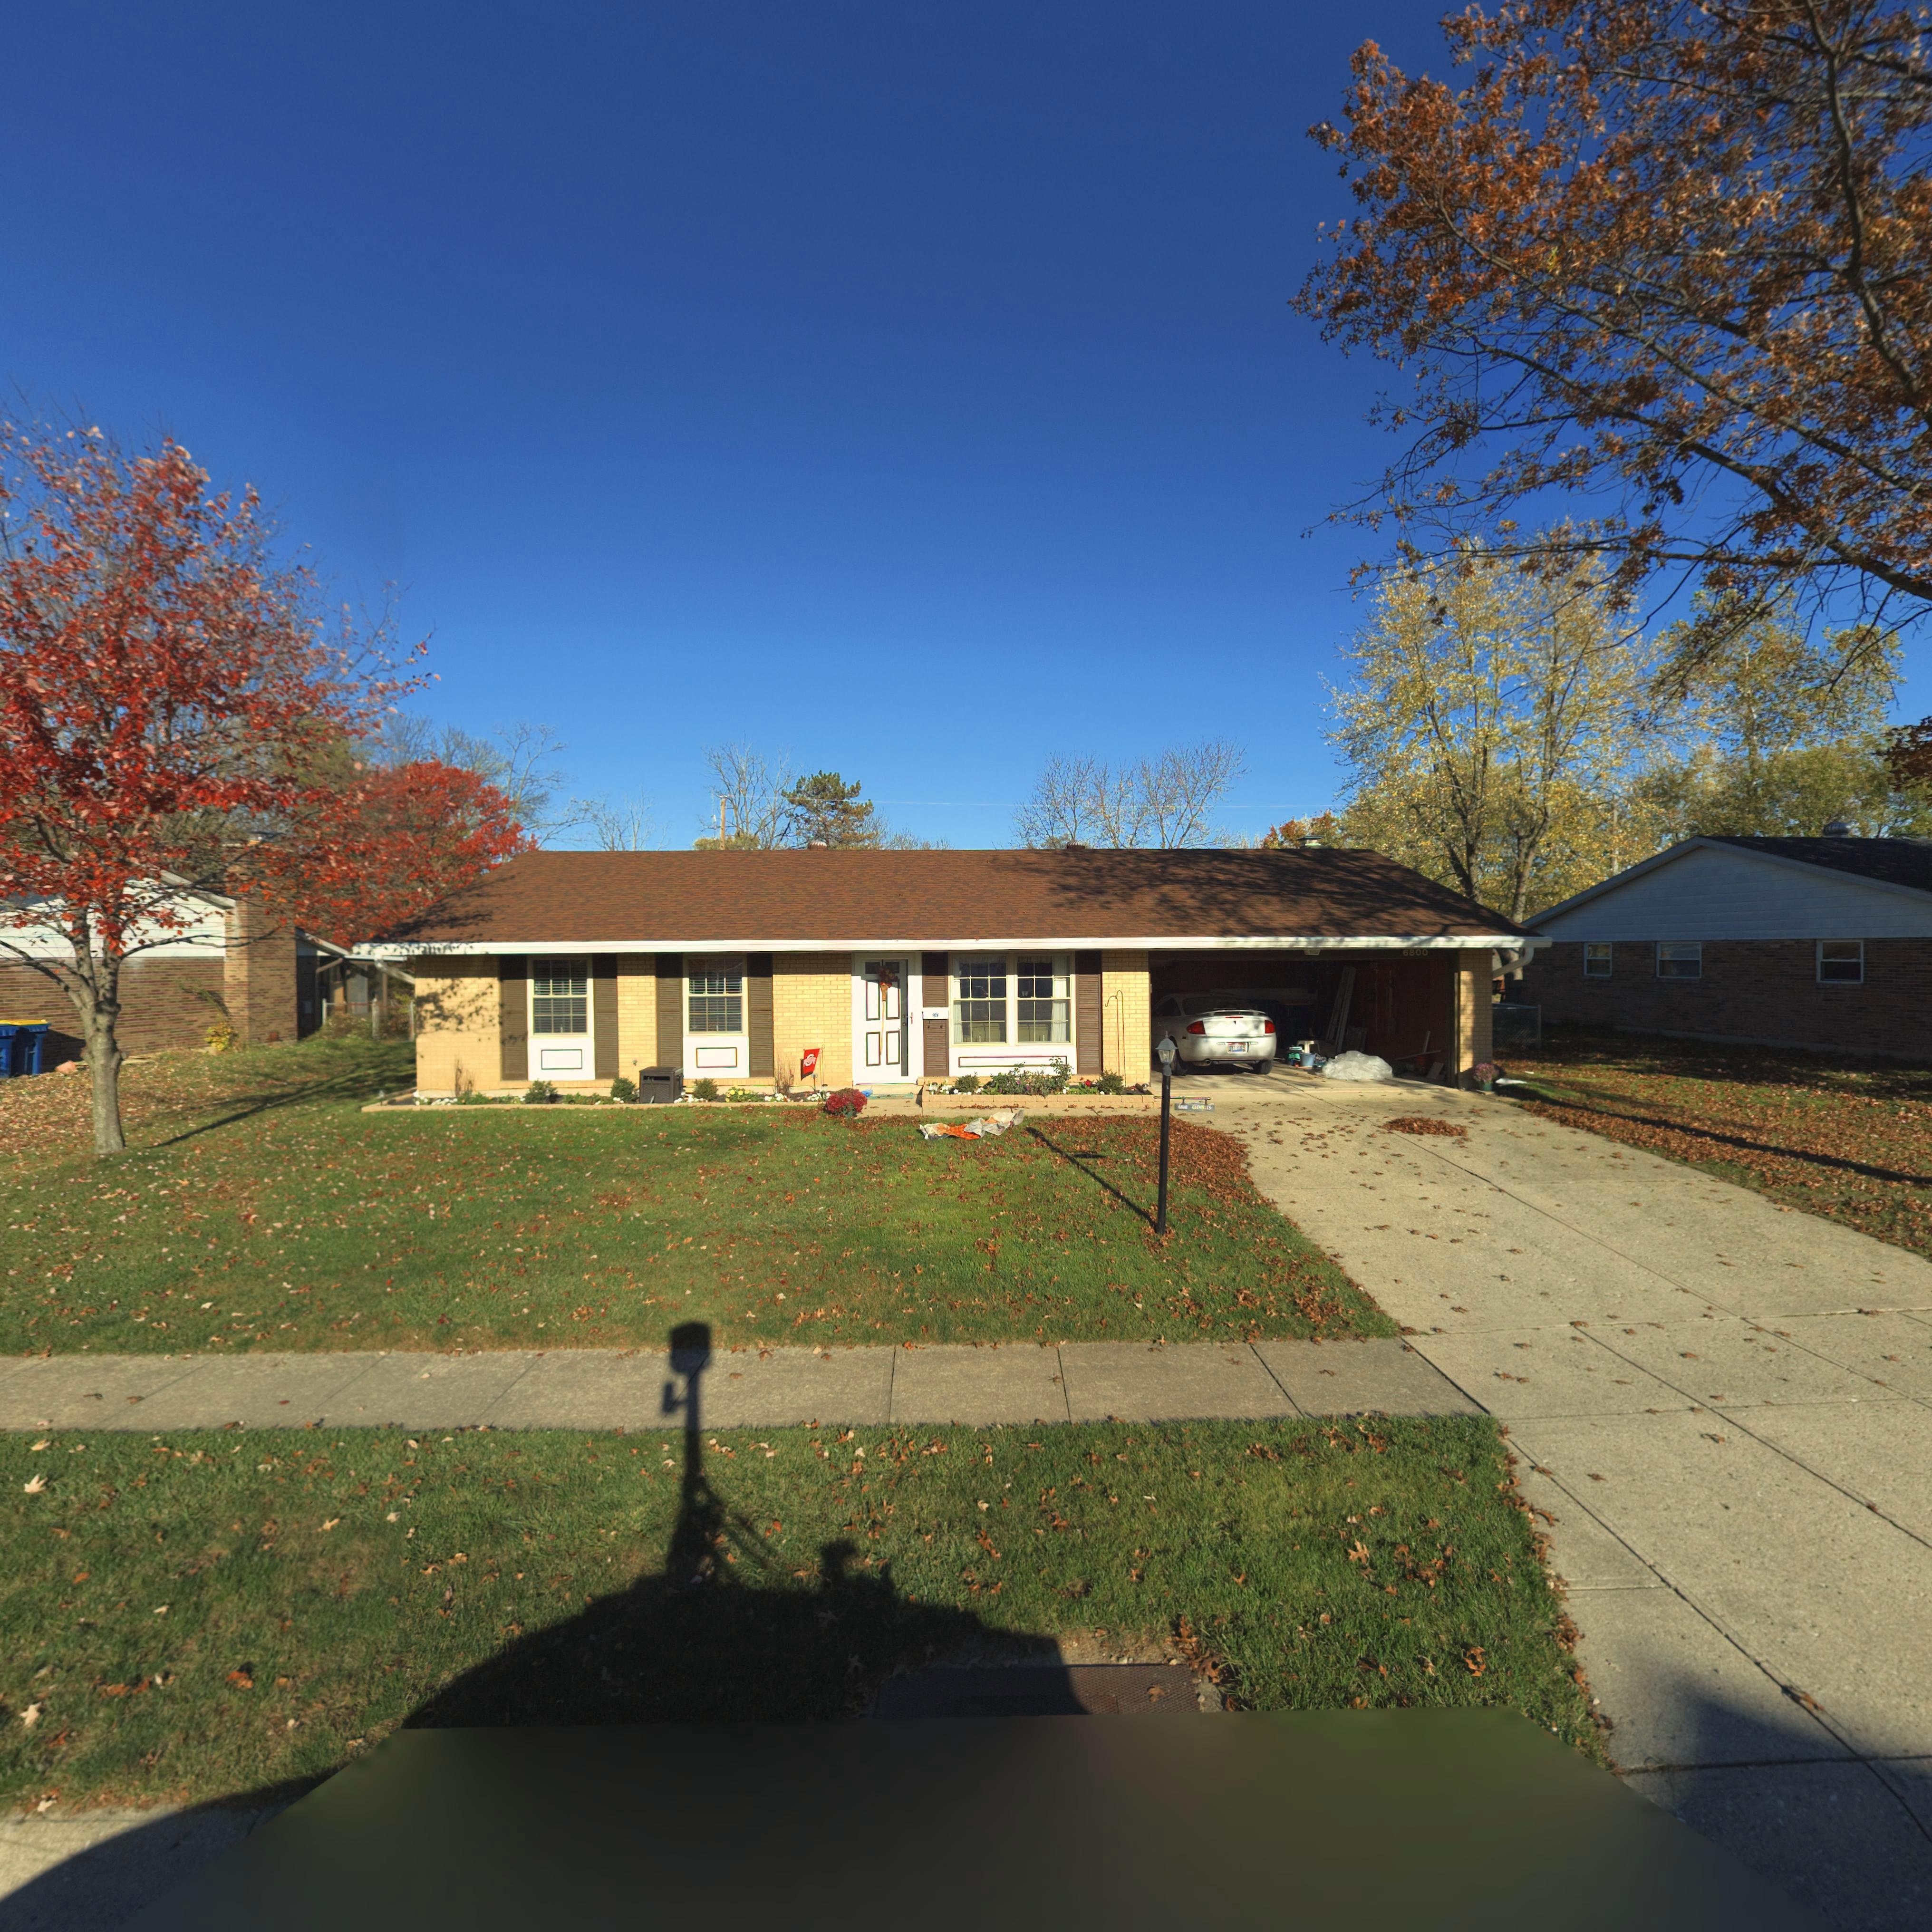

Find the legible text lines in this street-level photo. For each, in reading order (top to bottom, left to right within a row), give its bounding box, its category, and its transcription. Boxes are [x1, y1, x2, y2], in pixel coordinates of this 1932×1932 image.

[1401, 948, 1429, 957] StreetNumber: 6800